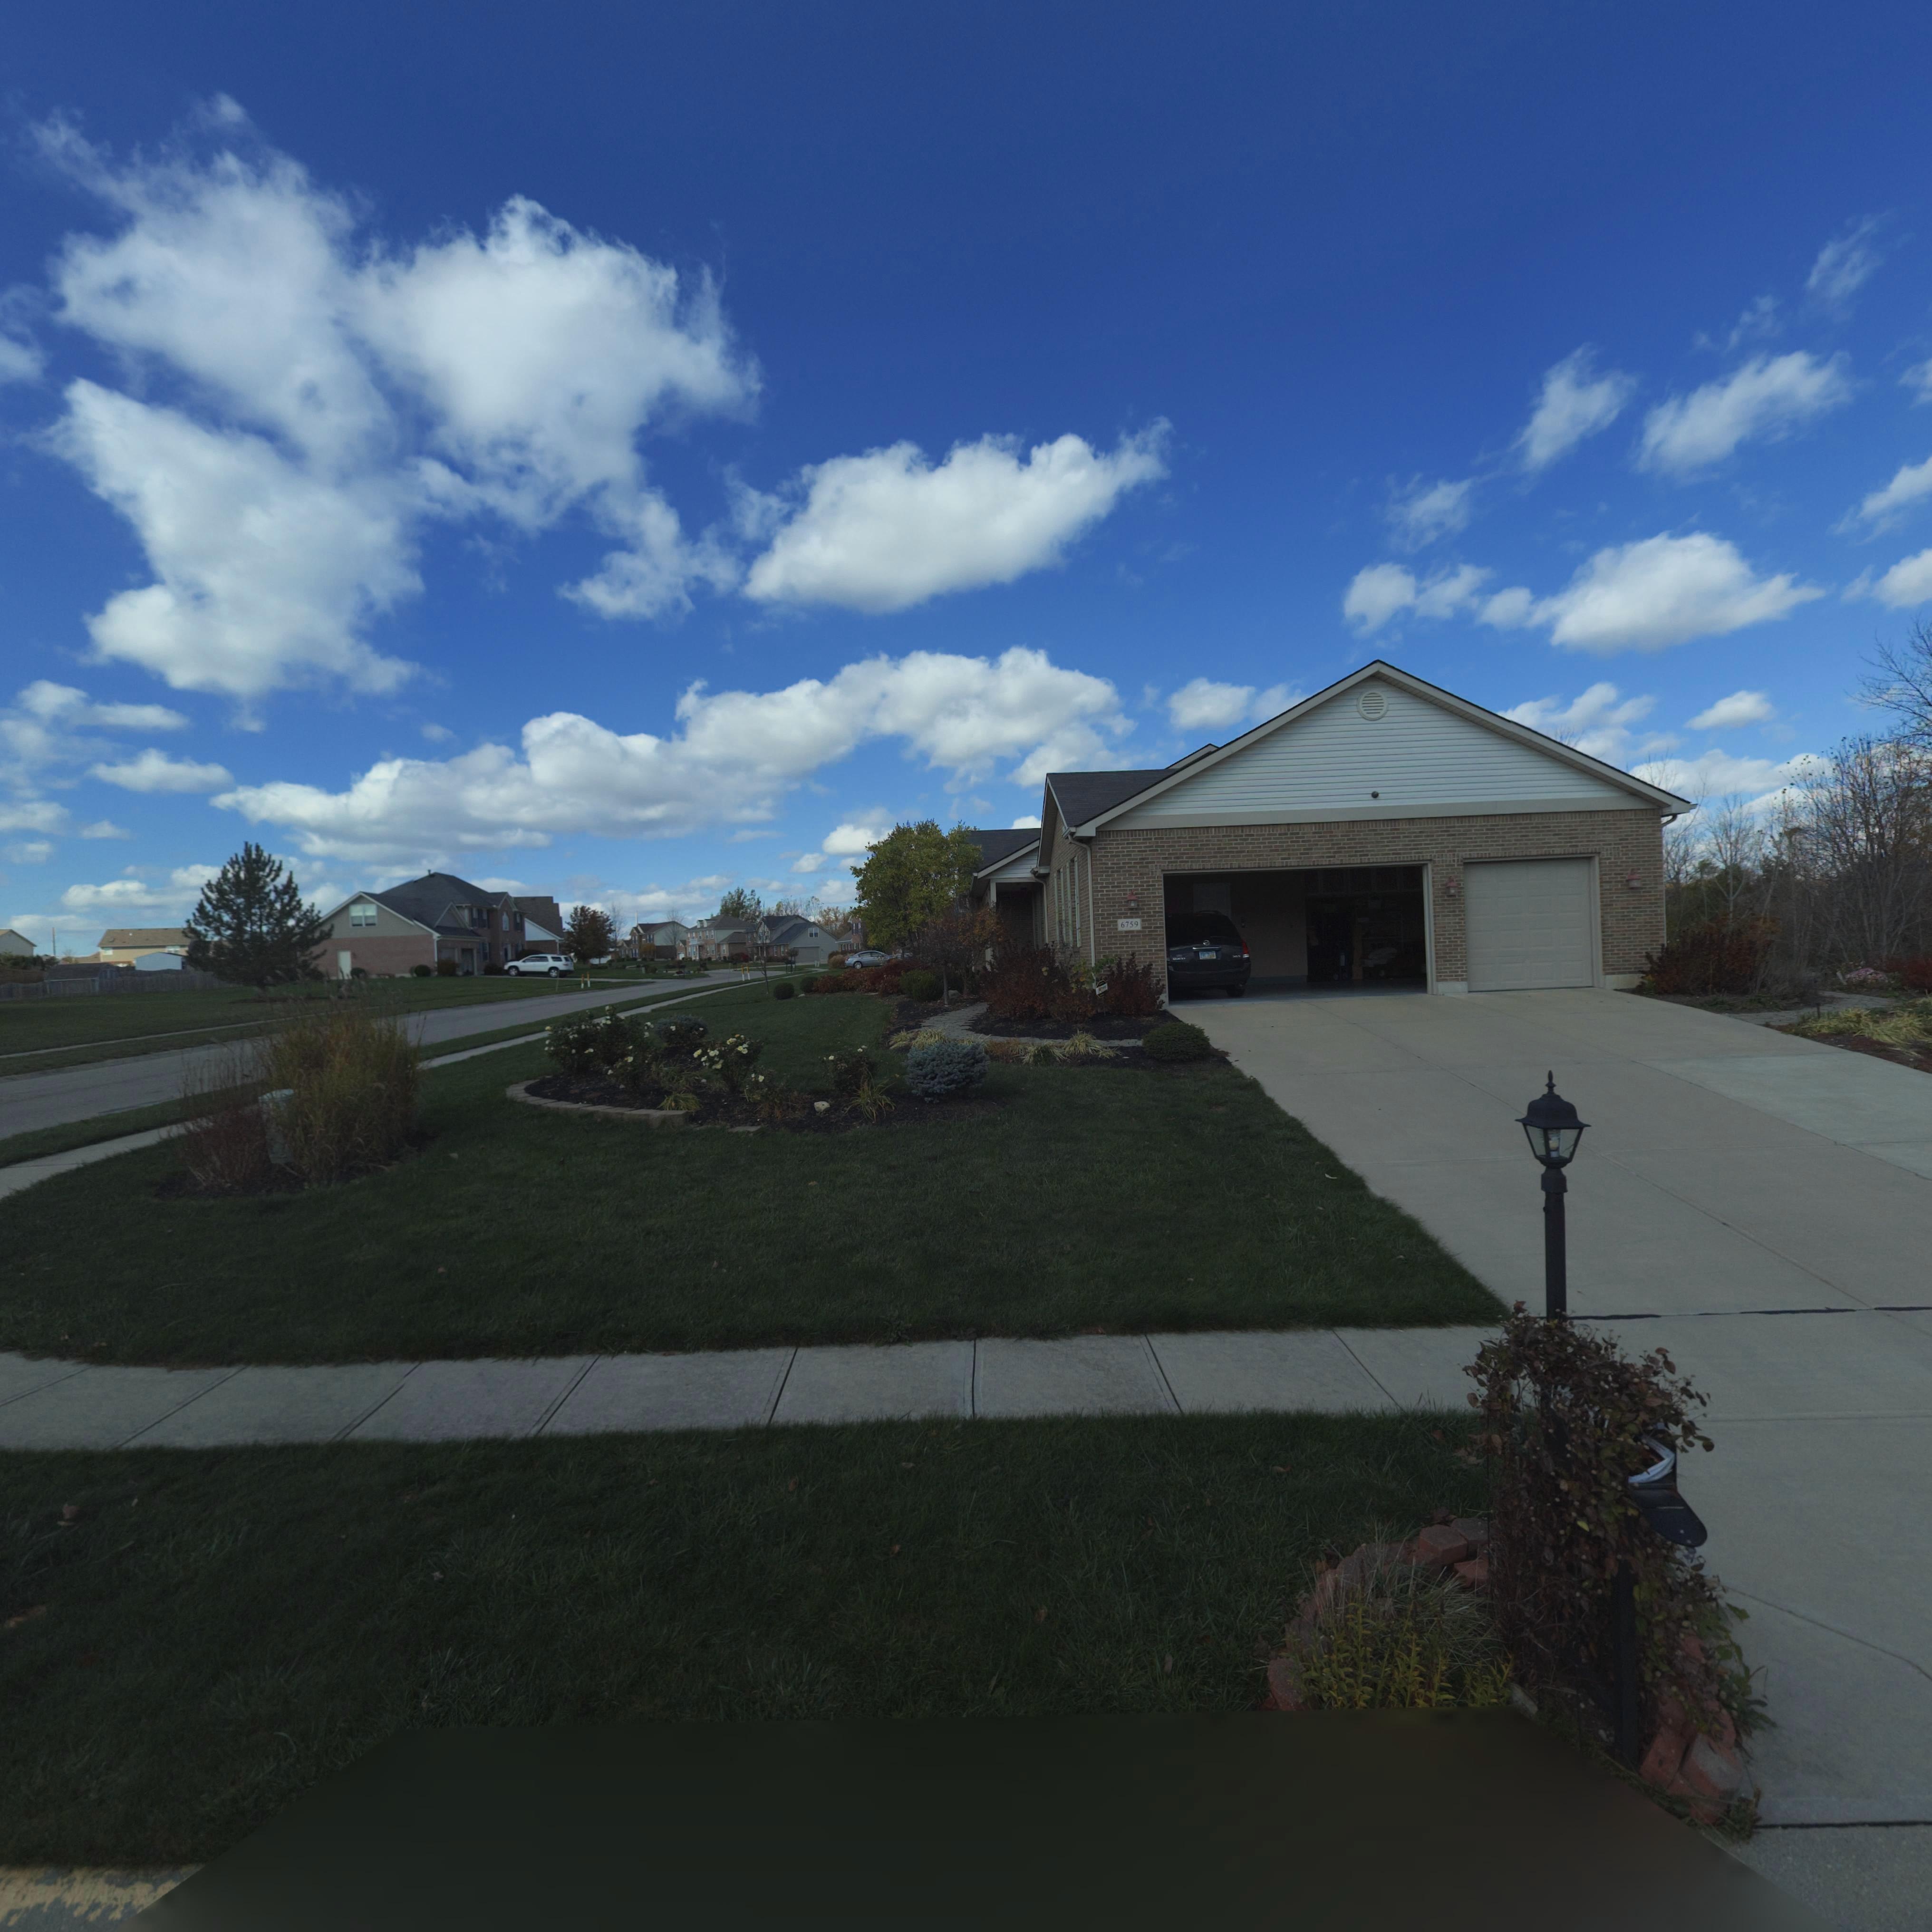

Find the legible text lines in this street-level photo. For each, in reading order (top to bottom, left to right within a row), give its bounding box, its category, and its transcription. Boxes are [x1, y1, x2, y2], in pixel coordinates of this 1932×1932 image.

[1120, 920, 1139, 928] StreetNumber: 6759